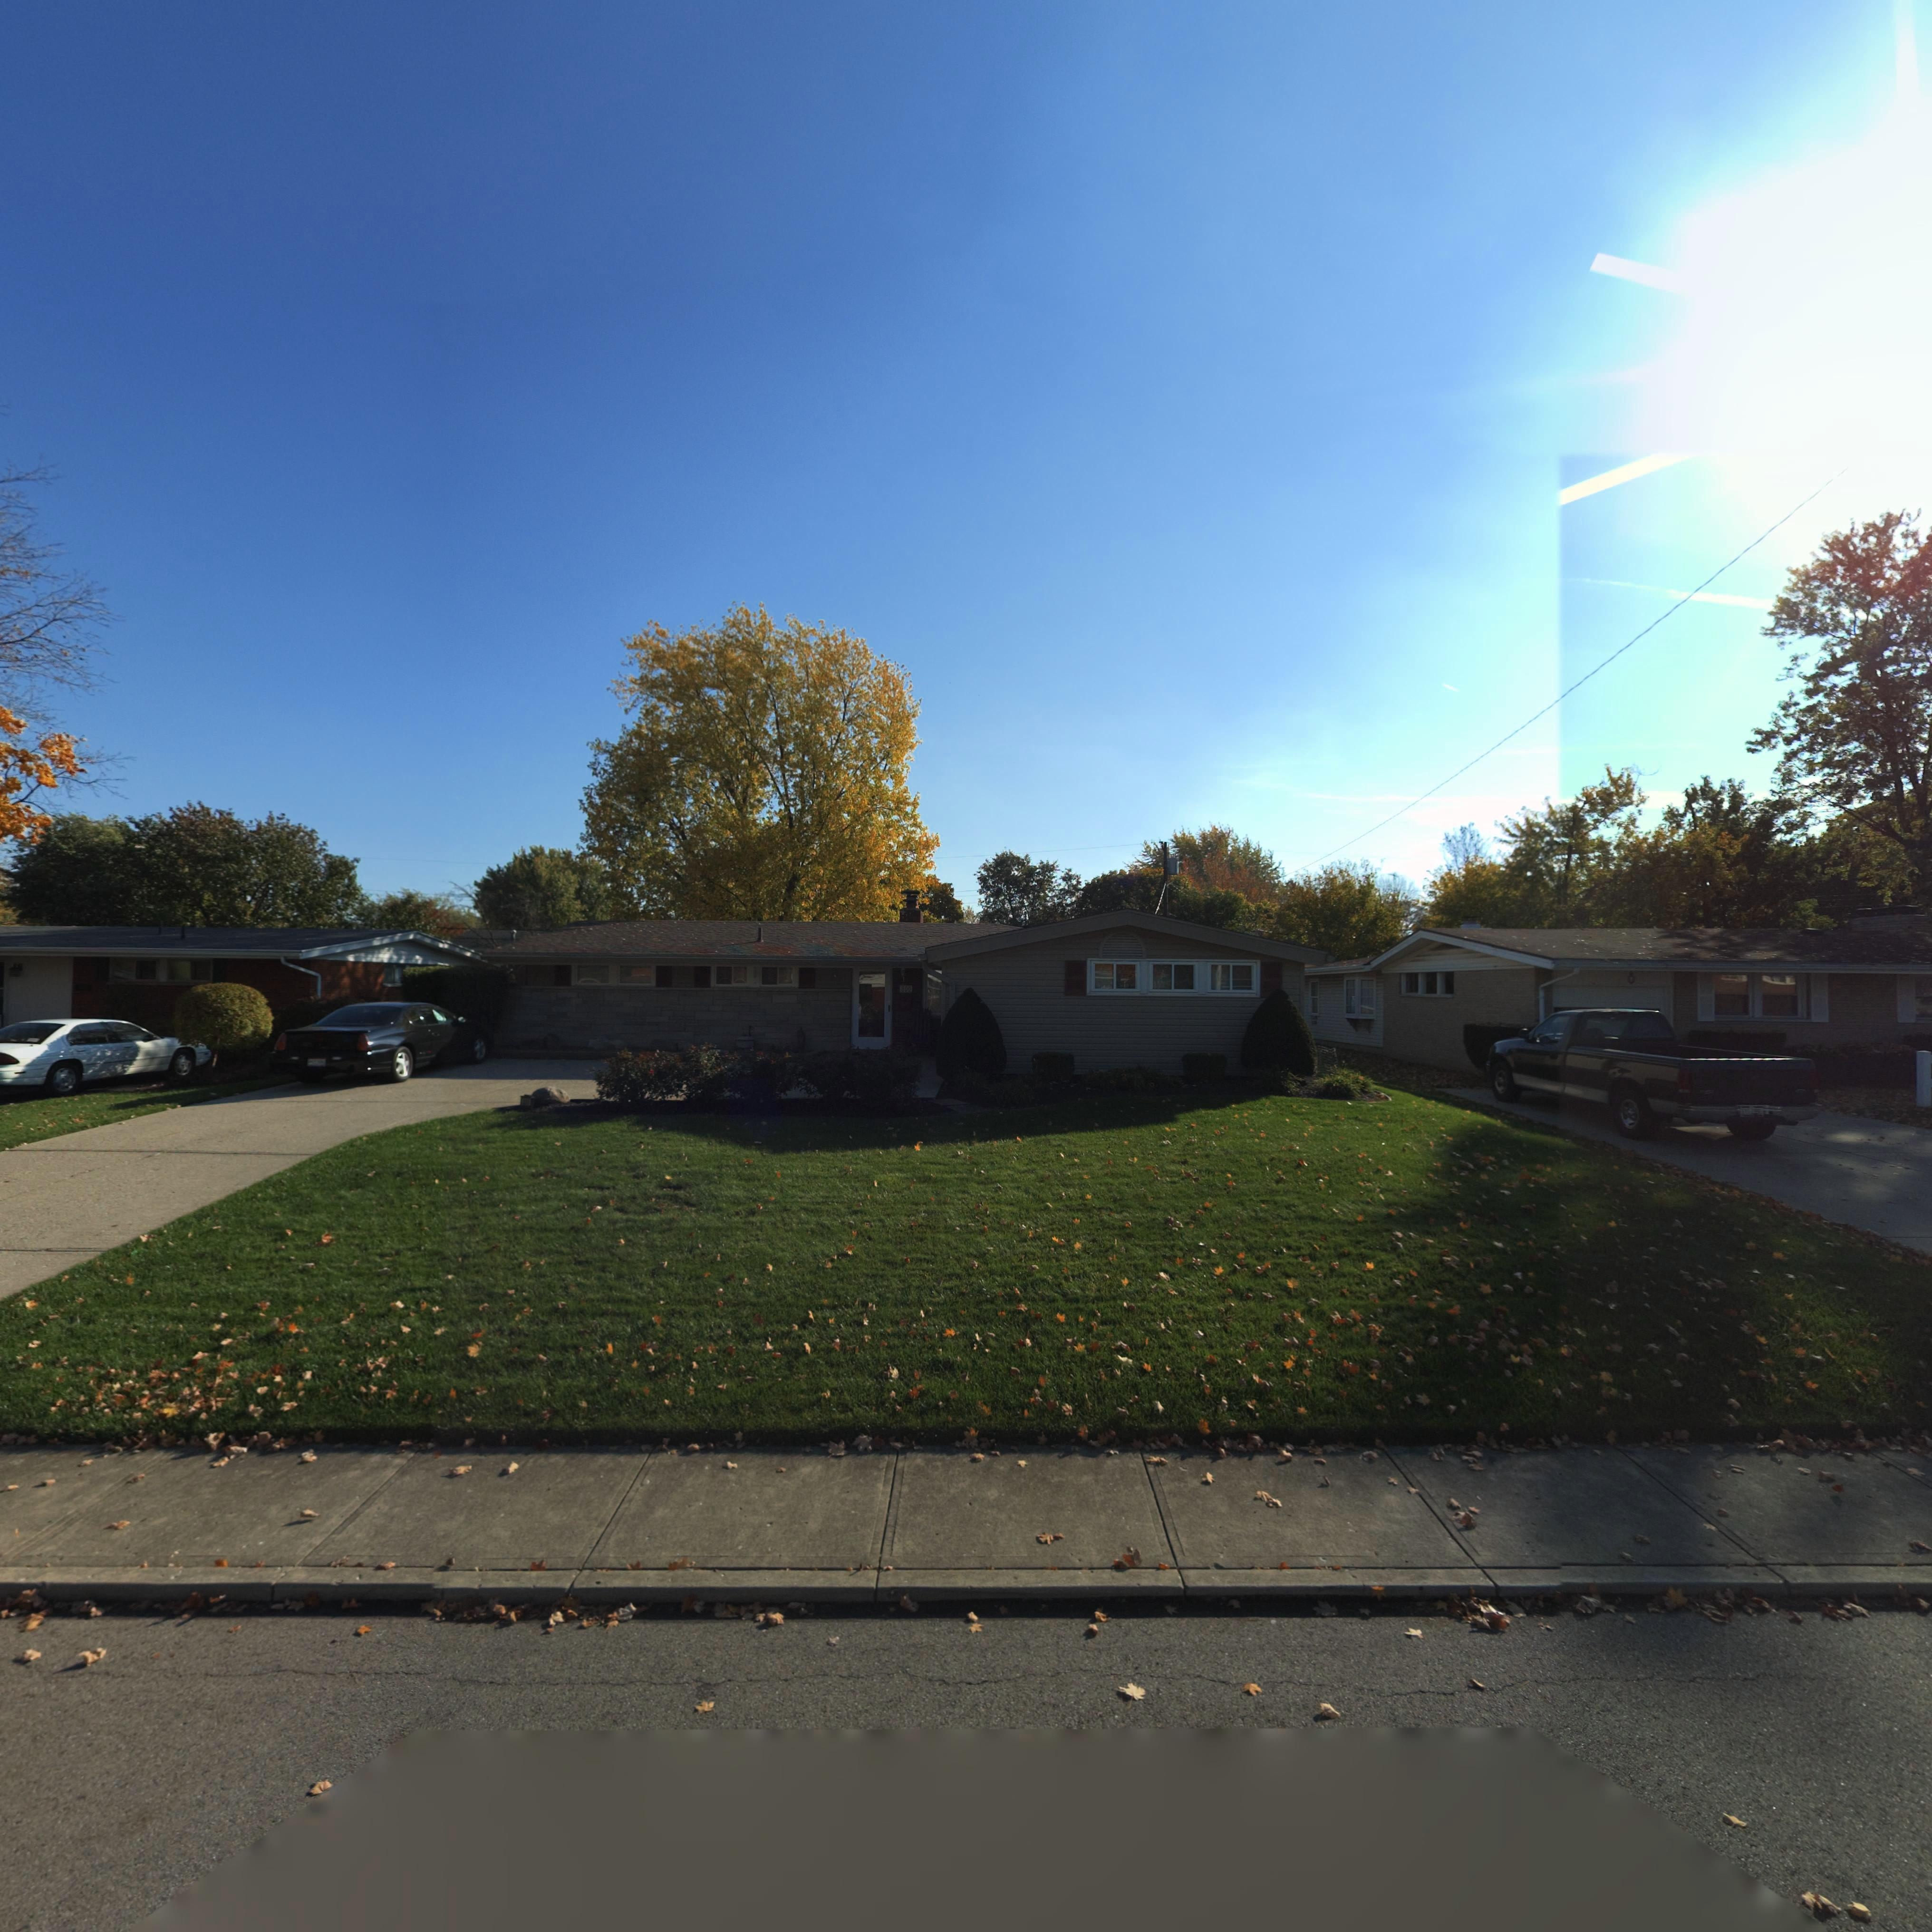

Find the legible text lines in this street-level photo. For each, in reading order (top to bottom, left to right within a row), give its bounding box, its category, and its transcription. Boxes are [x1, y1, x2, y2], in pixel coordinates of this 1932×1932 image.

[900, 985, 911, 993] StreetNumber: 800